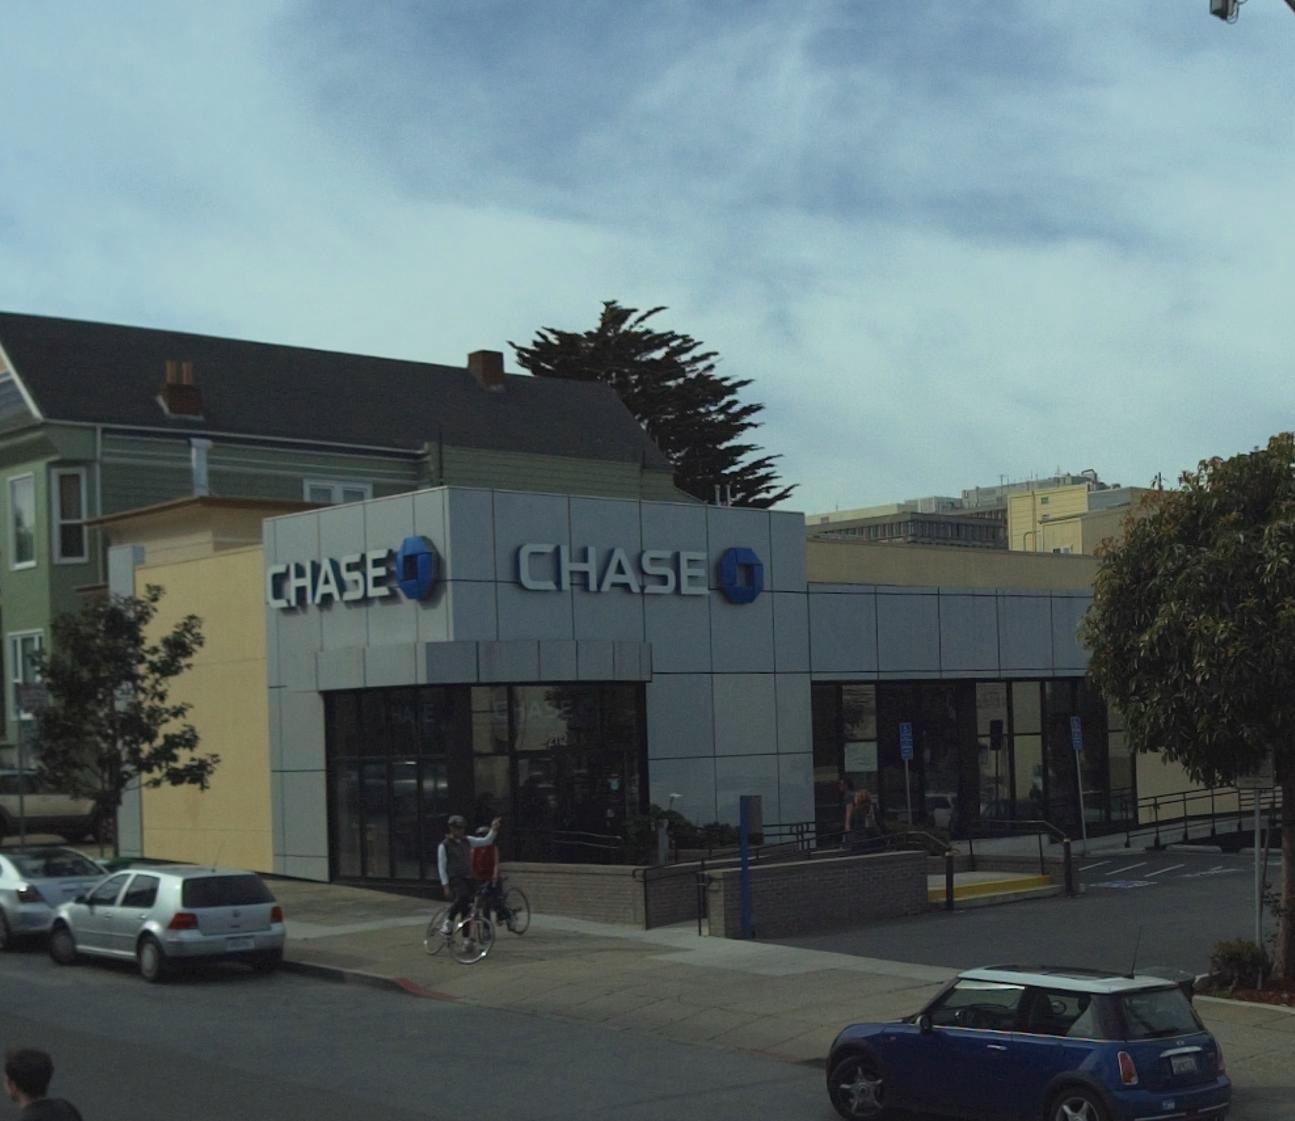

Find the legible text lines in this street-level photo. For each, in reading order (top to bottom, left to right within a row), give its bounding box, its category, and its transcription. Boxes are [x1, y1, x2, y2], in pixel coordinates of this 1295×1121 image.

[264, 545, 394, 610] BusinessName: CHASE
[516, 540, 712, 598] BusinessName: CHASE
[398, 700, 438, 726] BusinessName: A*E
[490, 695, 578, 723] BusinessName: C*ASE
[545, 730, 570, 749] StreetNumber: 21*2